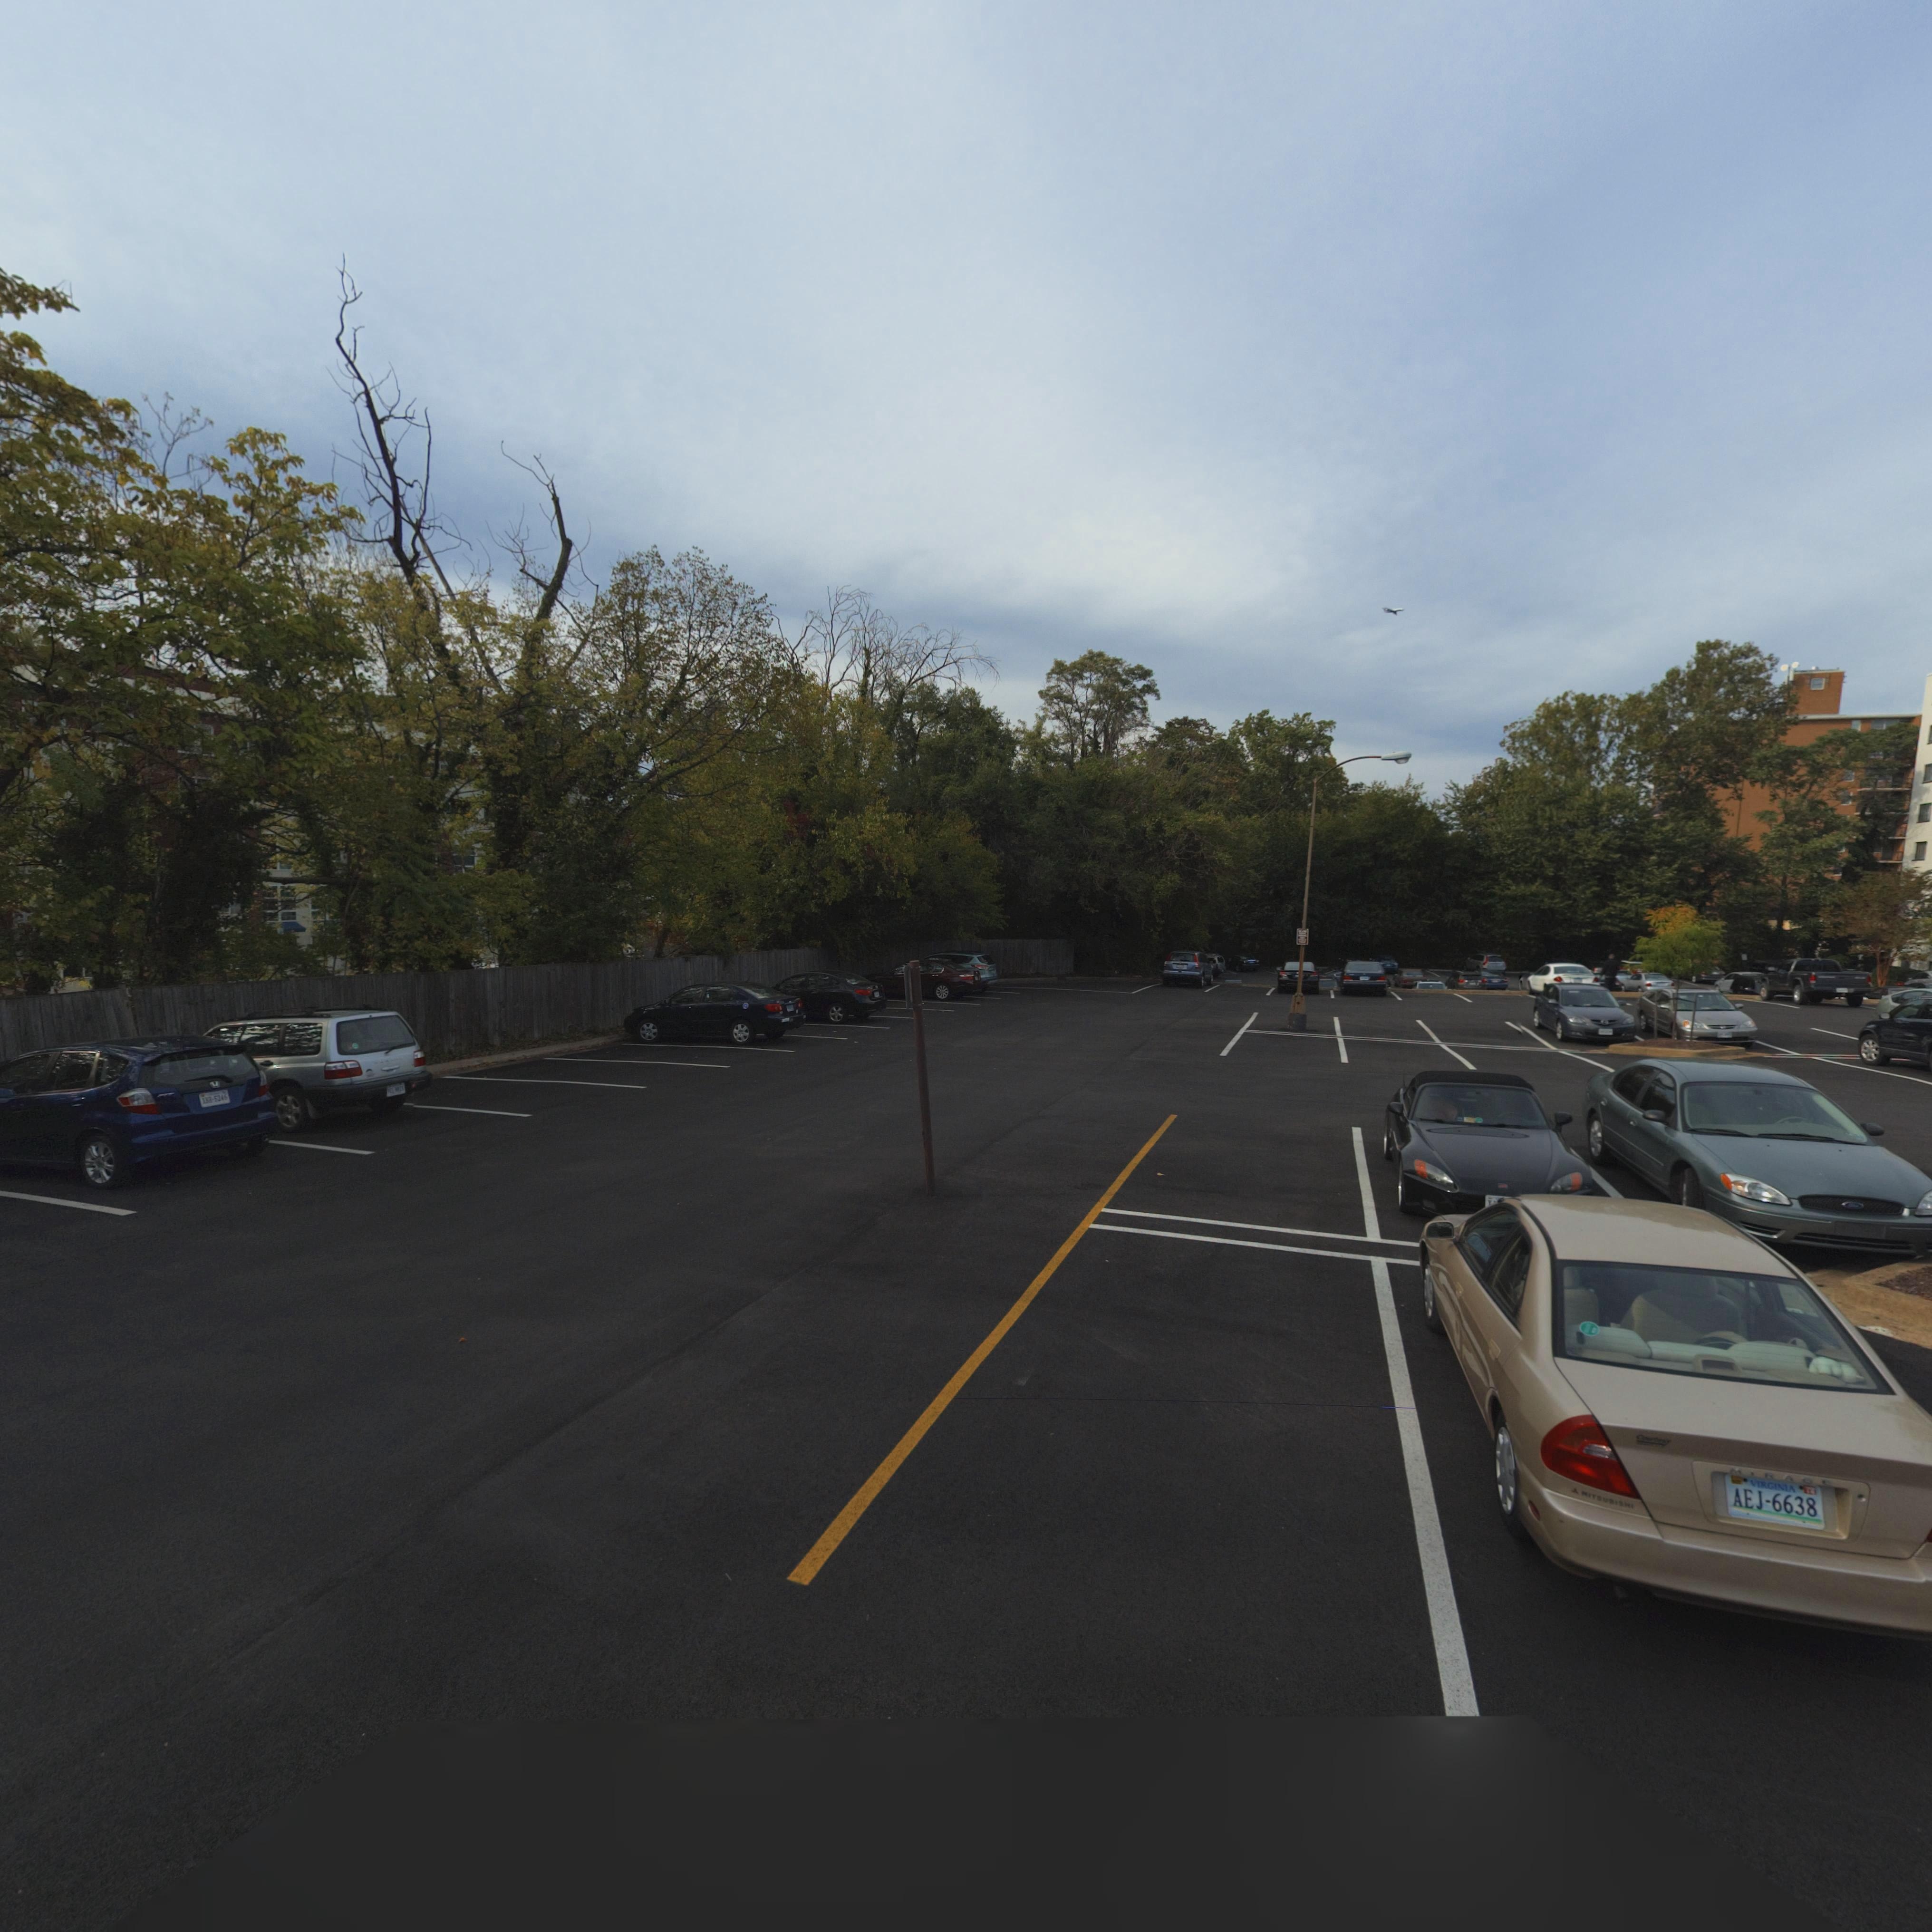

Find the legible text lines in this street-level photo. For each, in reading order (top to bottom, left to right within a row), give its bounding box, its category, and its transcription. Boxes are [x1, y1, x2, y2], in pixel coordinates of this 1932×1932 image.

[162, 1092, 176, 1097] None: IT
[213, 1093, 229, 1102] None: 5245
[1728, 1466, 1832, 1487] None: MIRAGE
[1750, 1479, 1797, 1494] None: VIRGINIA
[1806, 1488, 1816, 1495] None: 14
[1580, 1489, 1635, 1511] None: MITSUBISHI
[1733, 1487, 1818, 1518] None: AEJ-6638